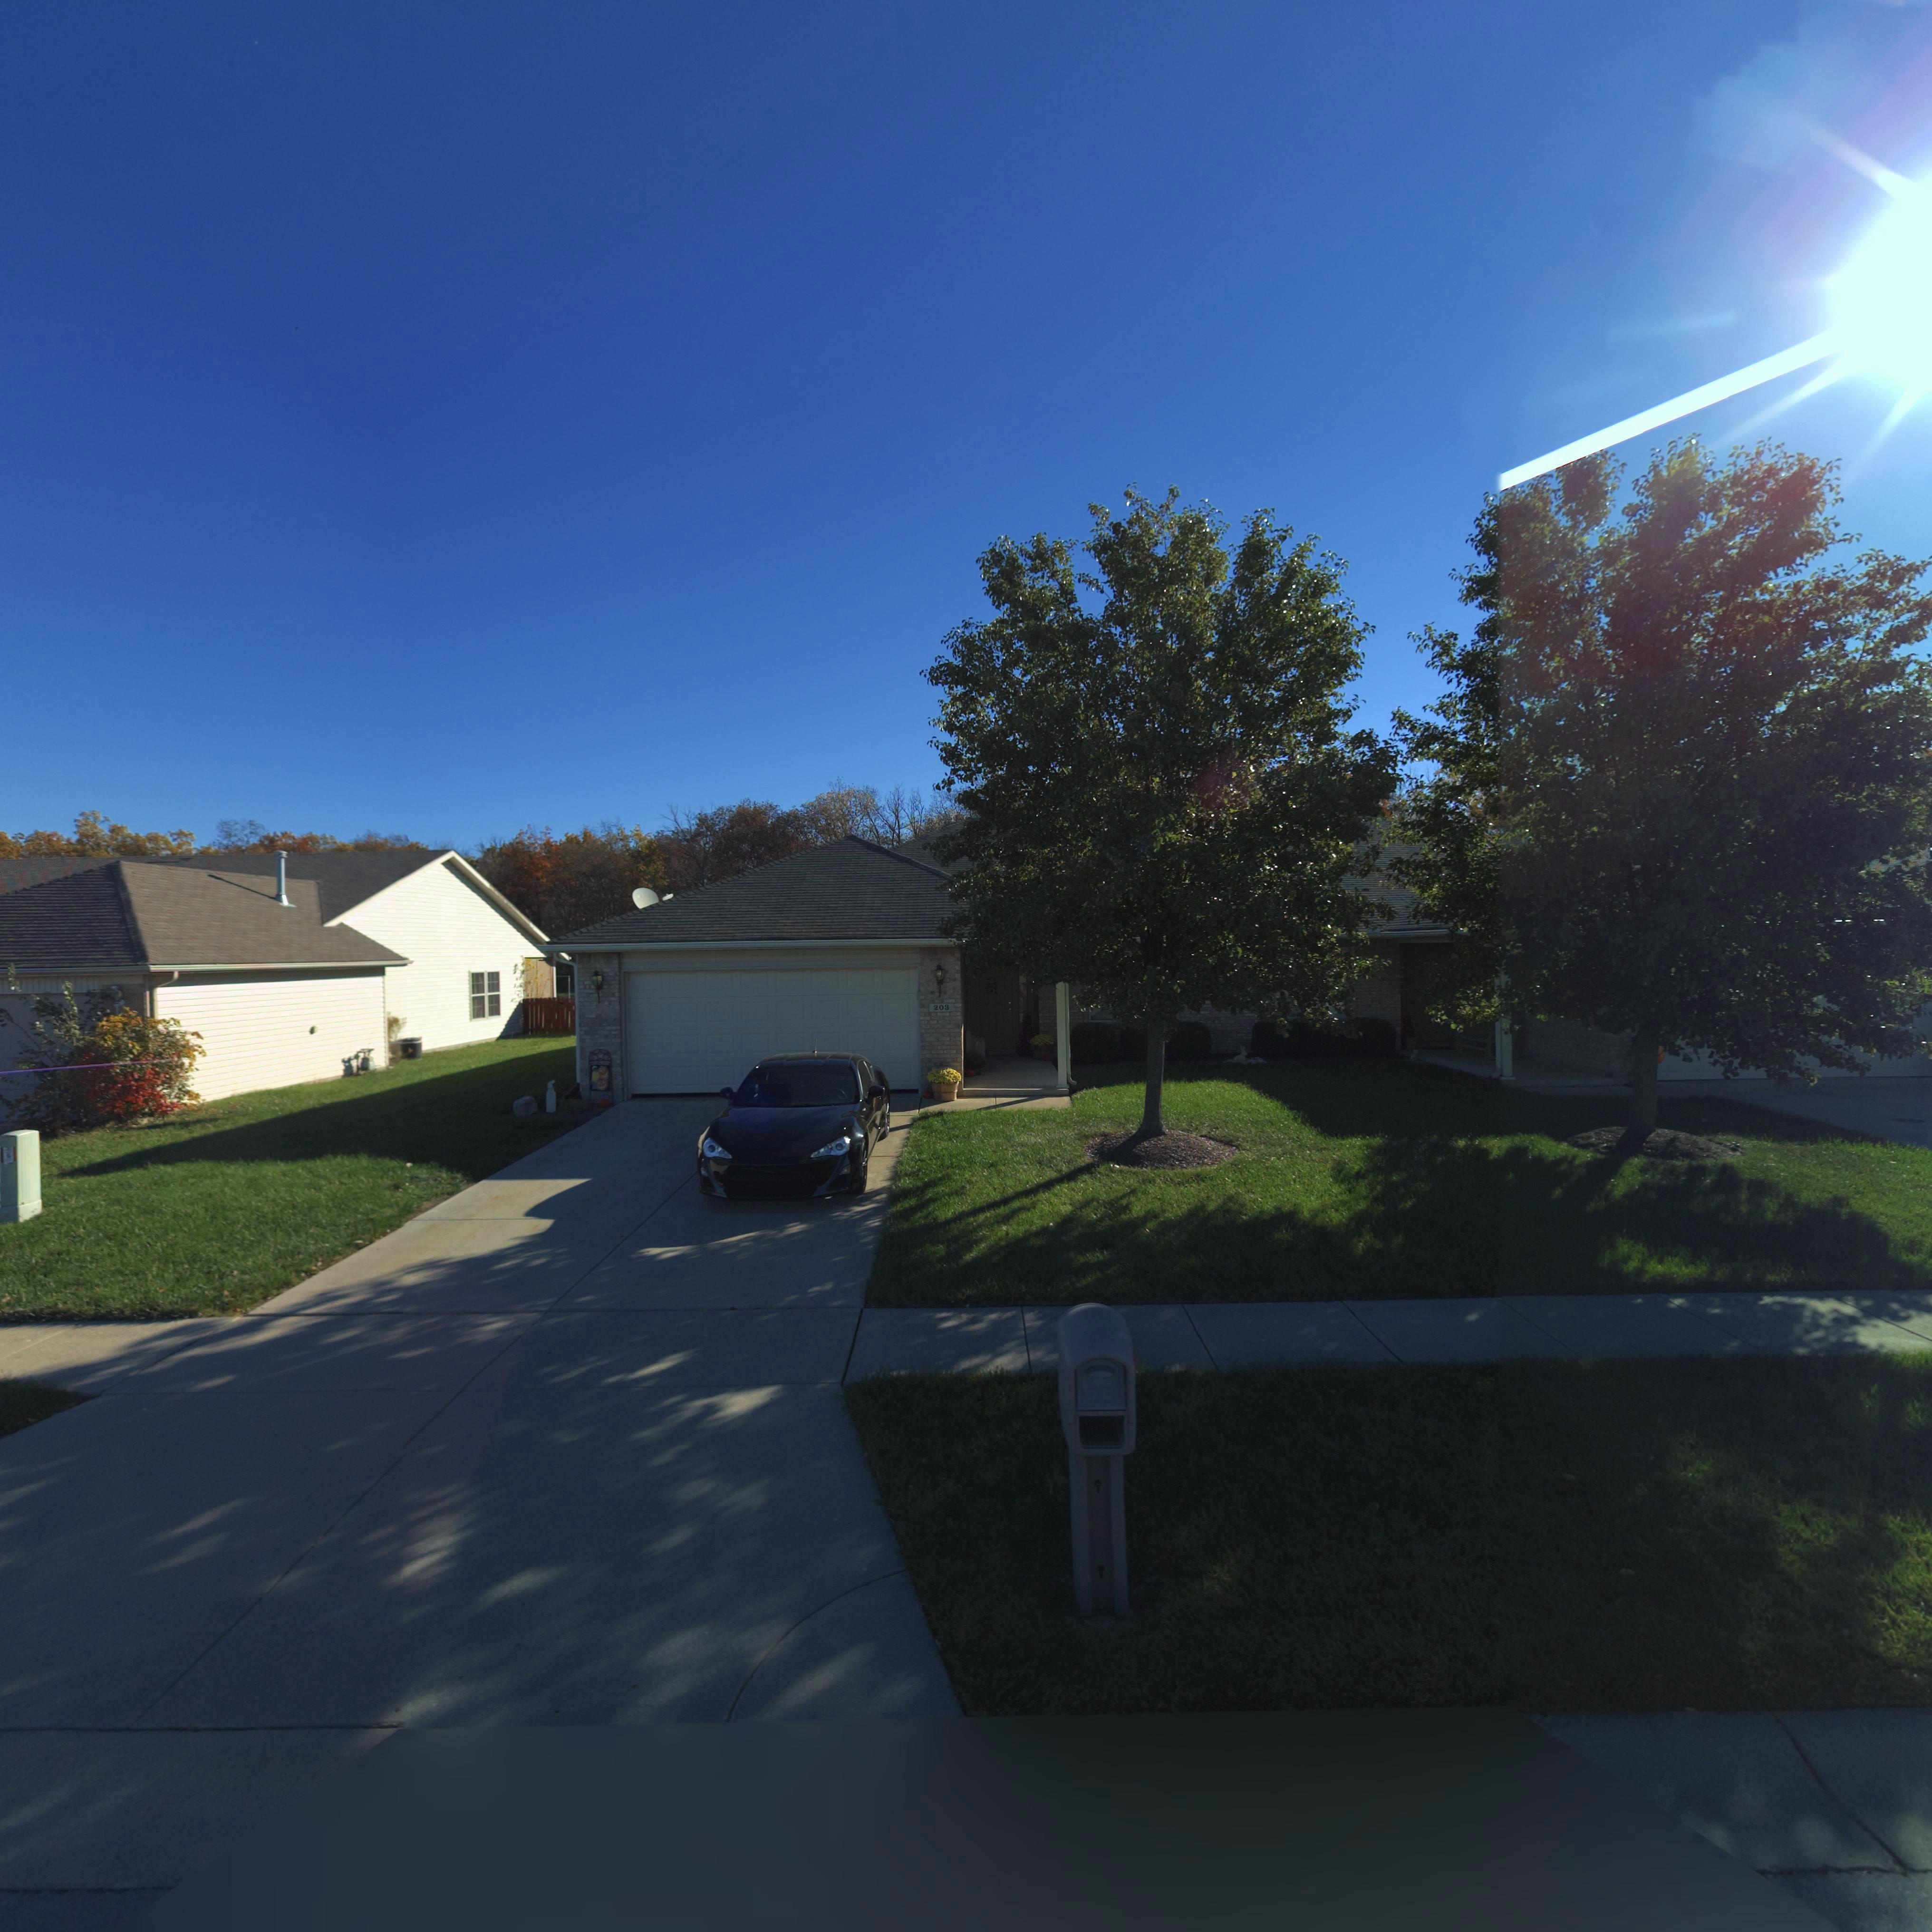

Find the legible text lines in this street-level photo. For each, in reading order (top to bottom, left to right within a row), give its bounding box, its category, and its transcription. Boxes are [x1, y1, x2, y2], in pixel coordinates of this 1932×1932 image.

[933, 1004, 950, 1011] StreetNumber: 203